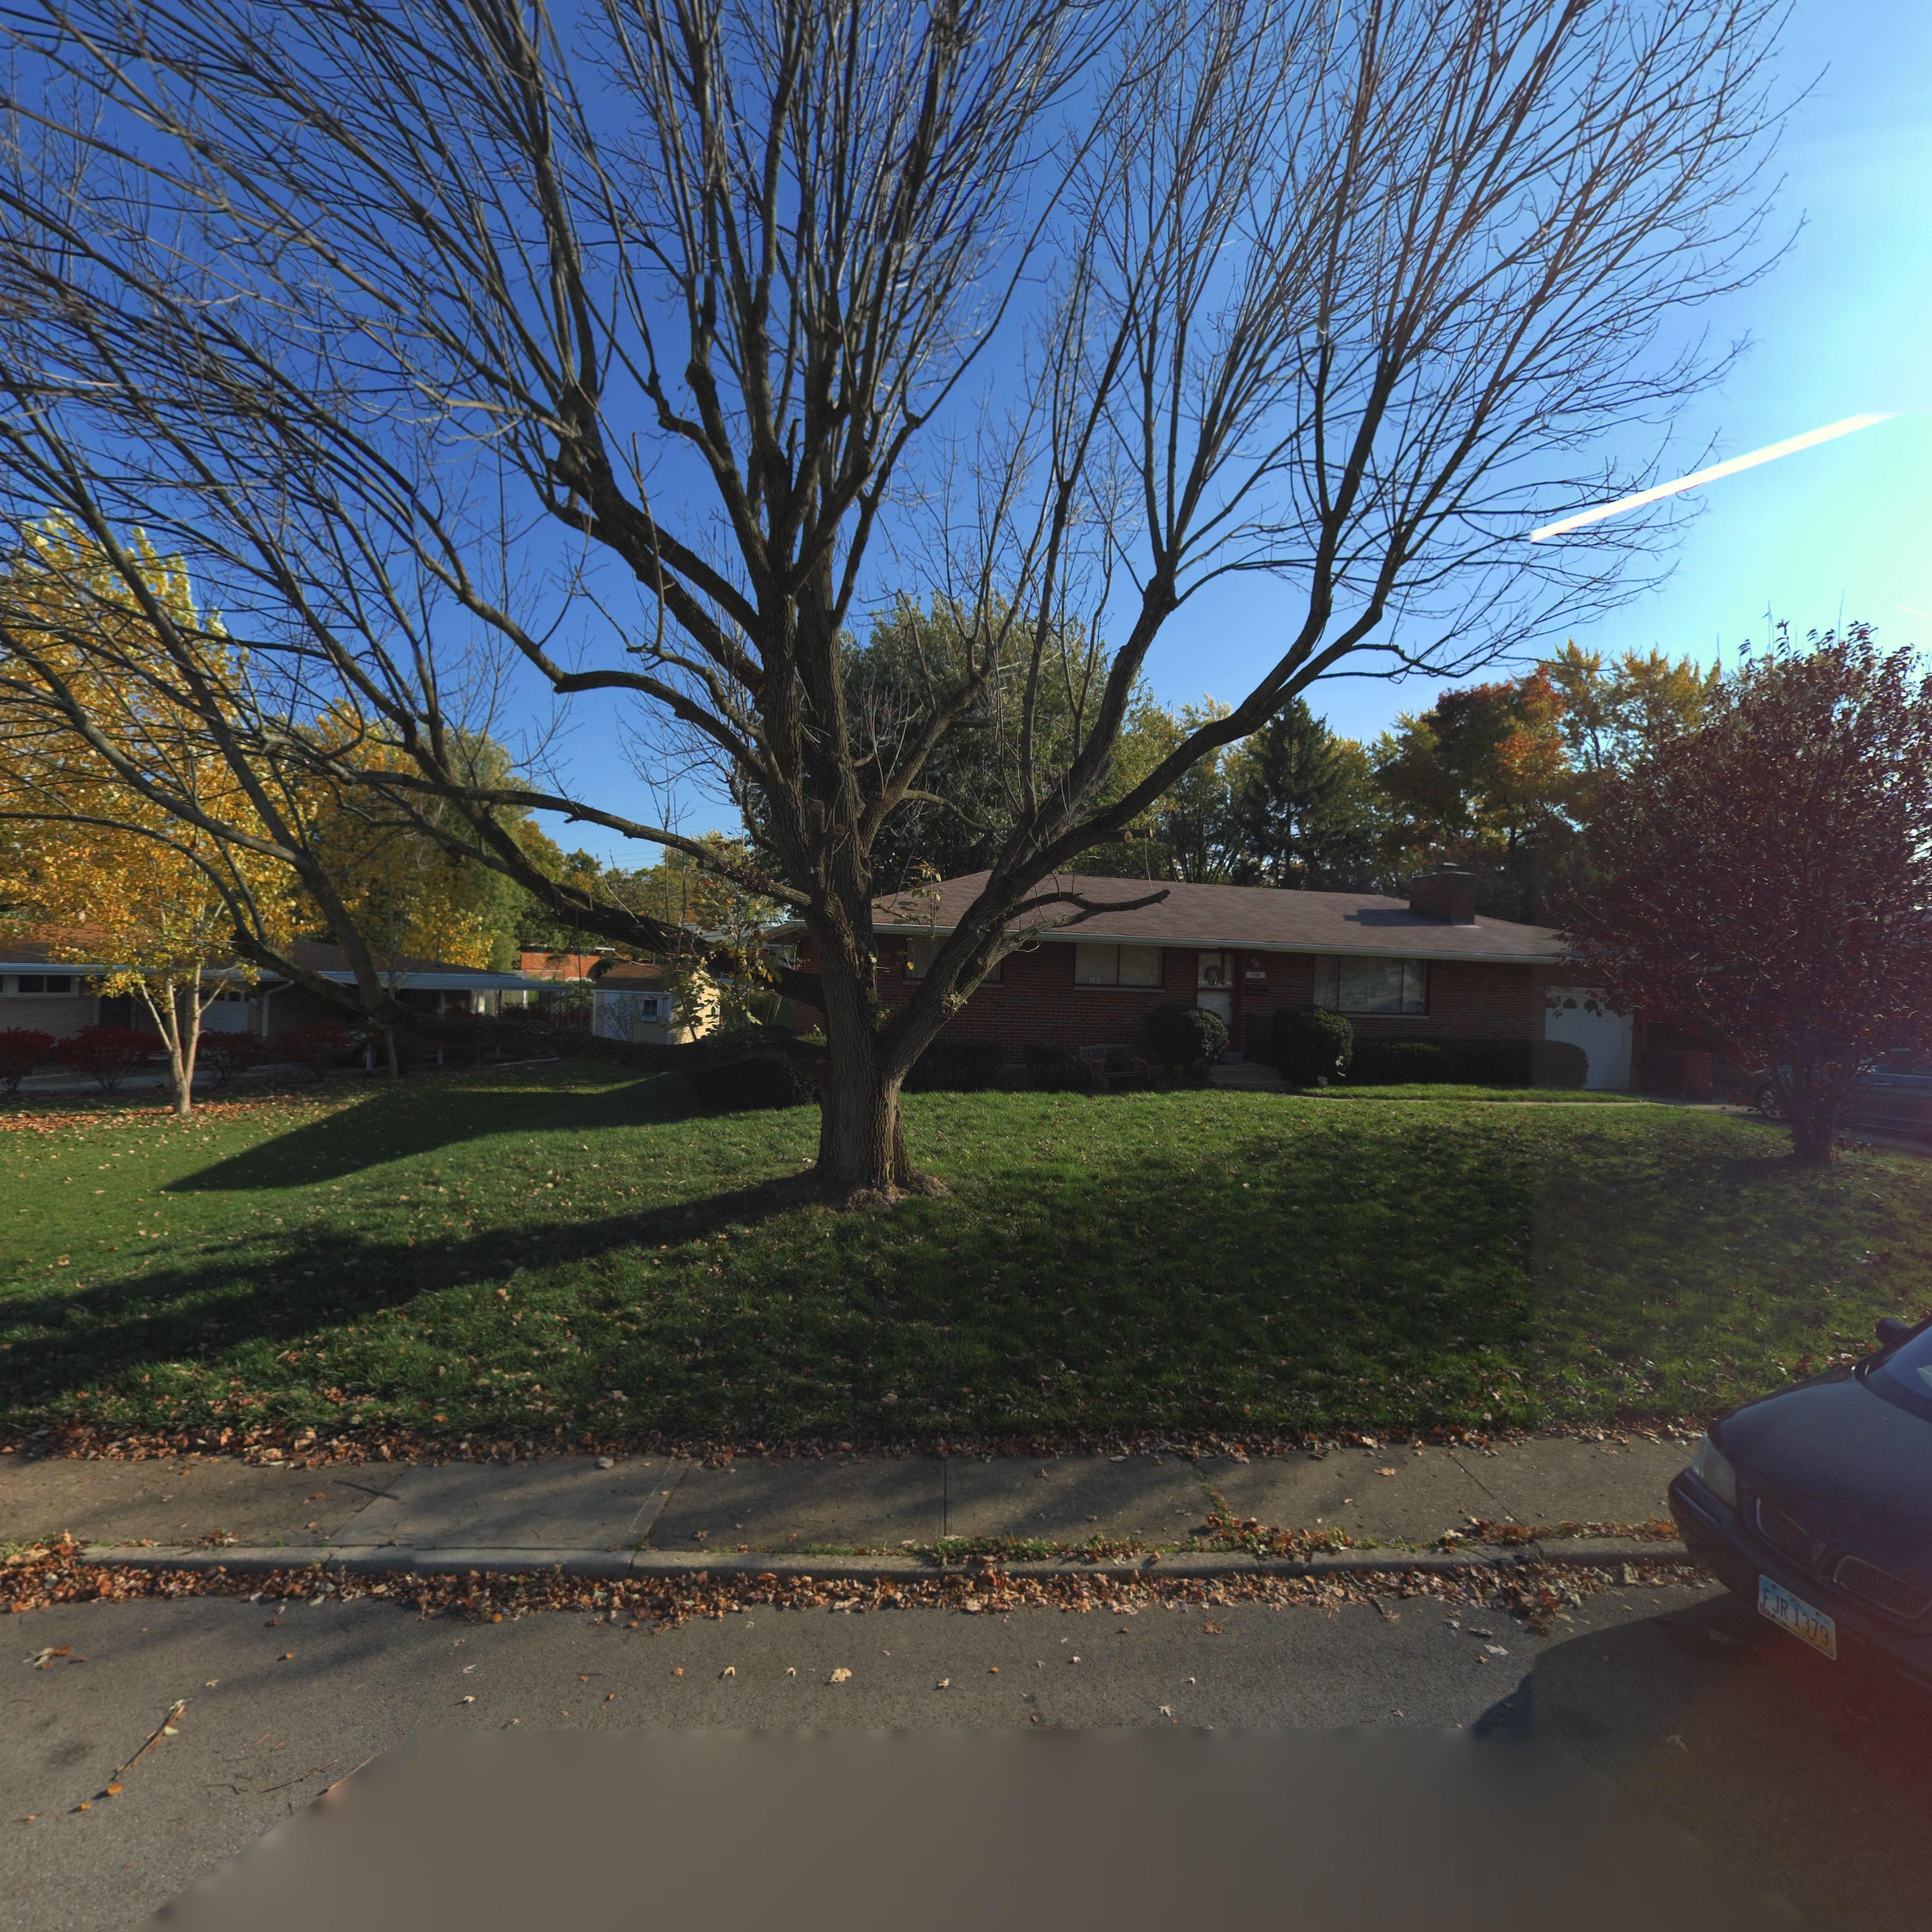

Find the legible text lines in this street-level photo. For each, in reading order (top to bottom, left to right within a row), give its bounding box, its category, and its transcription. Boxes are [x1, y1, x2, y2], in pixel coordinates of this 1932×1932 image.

[1250, 972, 1261, 978] StreetNumber: 708